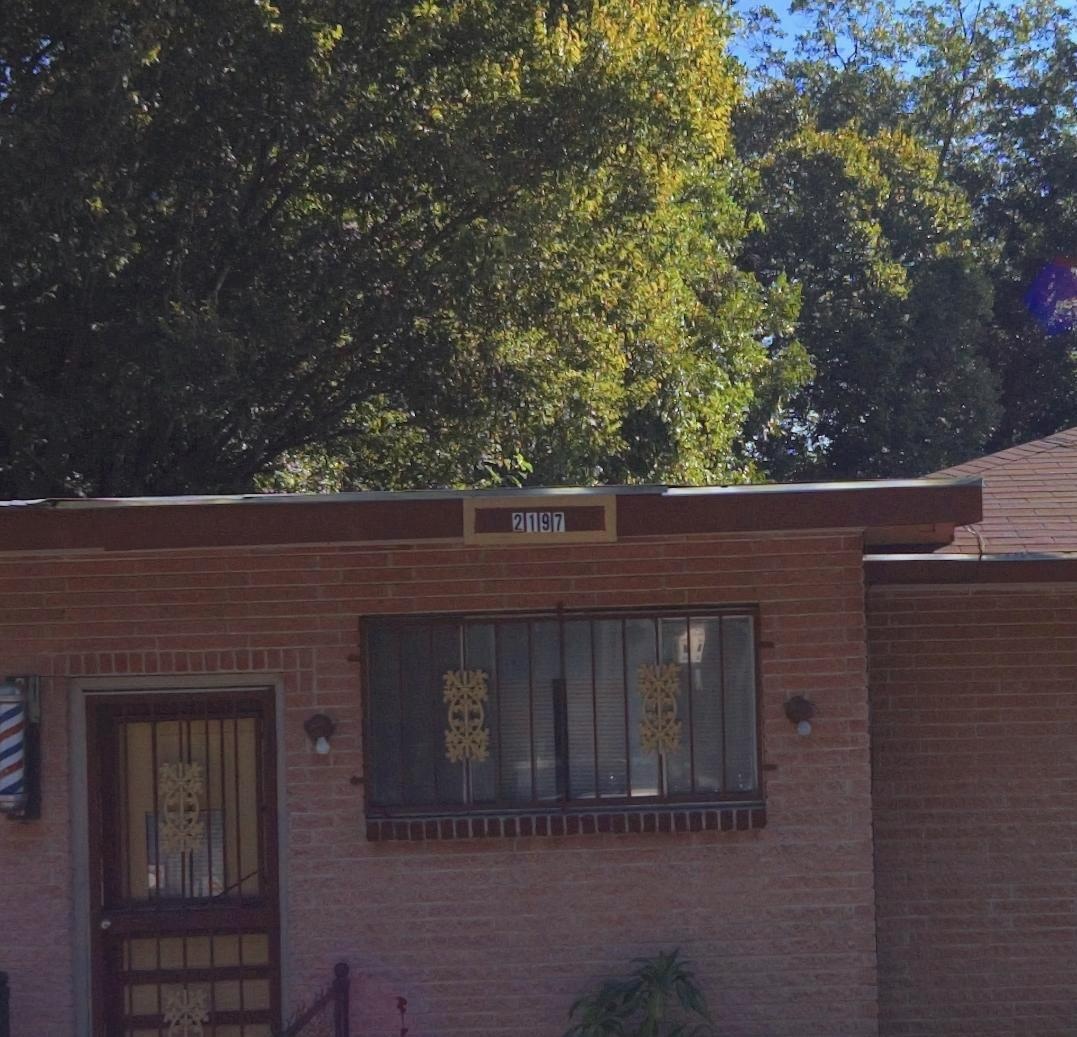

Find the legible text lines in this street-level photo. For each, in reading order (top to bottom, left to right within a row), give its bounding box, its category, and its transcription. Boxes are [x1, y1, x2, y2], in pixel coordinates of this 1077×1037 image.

[512, 512, 564, 533] StreetNumber: 2197